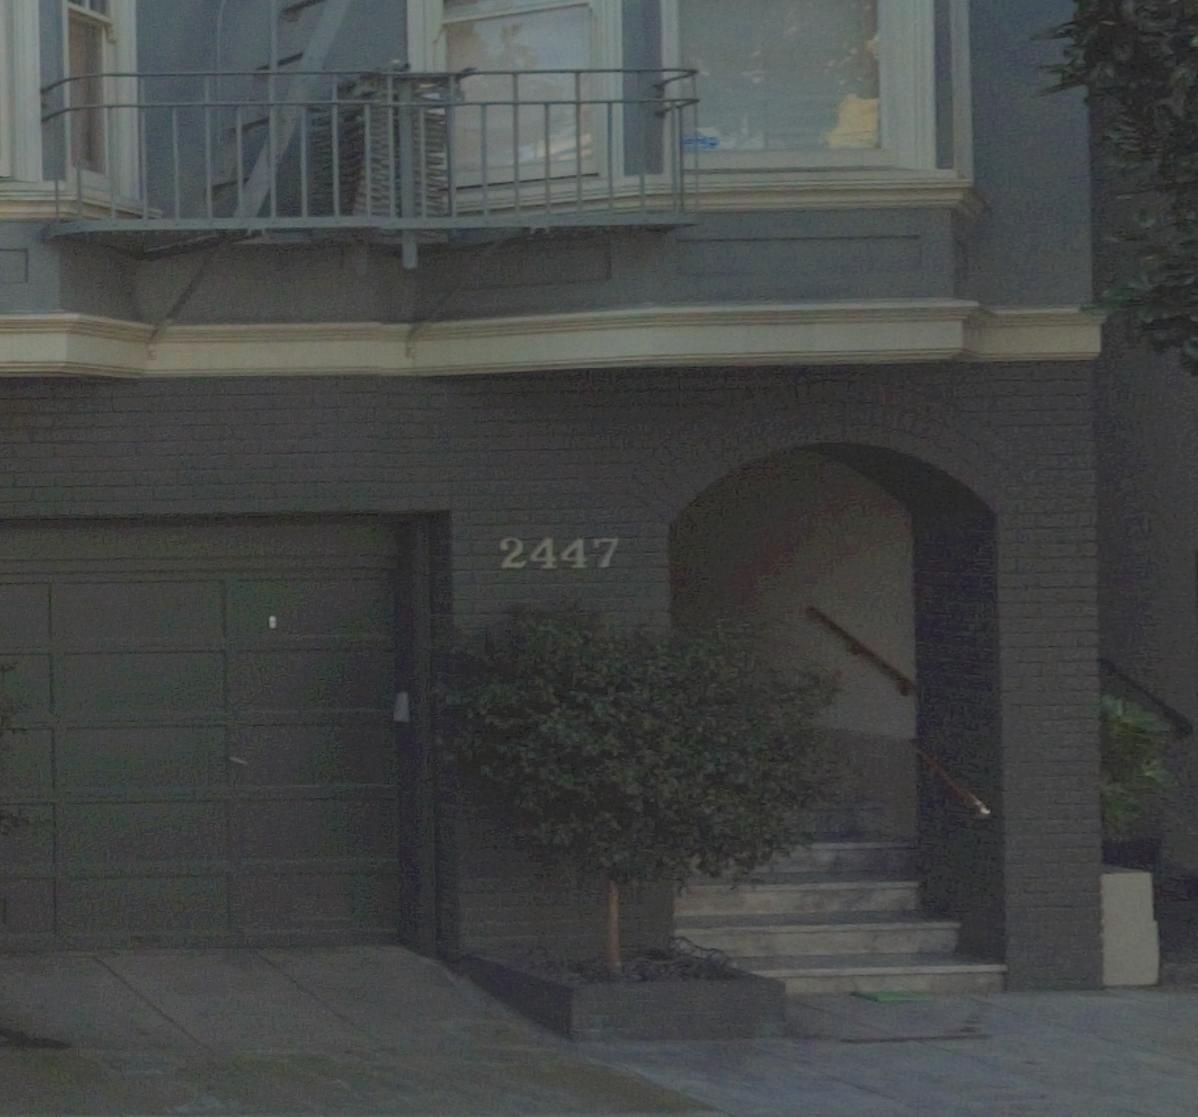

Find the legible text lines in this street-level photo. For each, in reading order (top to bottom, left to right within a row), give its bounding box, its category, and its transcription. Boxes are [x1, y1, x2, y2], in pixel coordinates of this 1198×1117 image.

[497, 535, 622, 571] StreetNumber: 2447